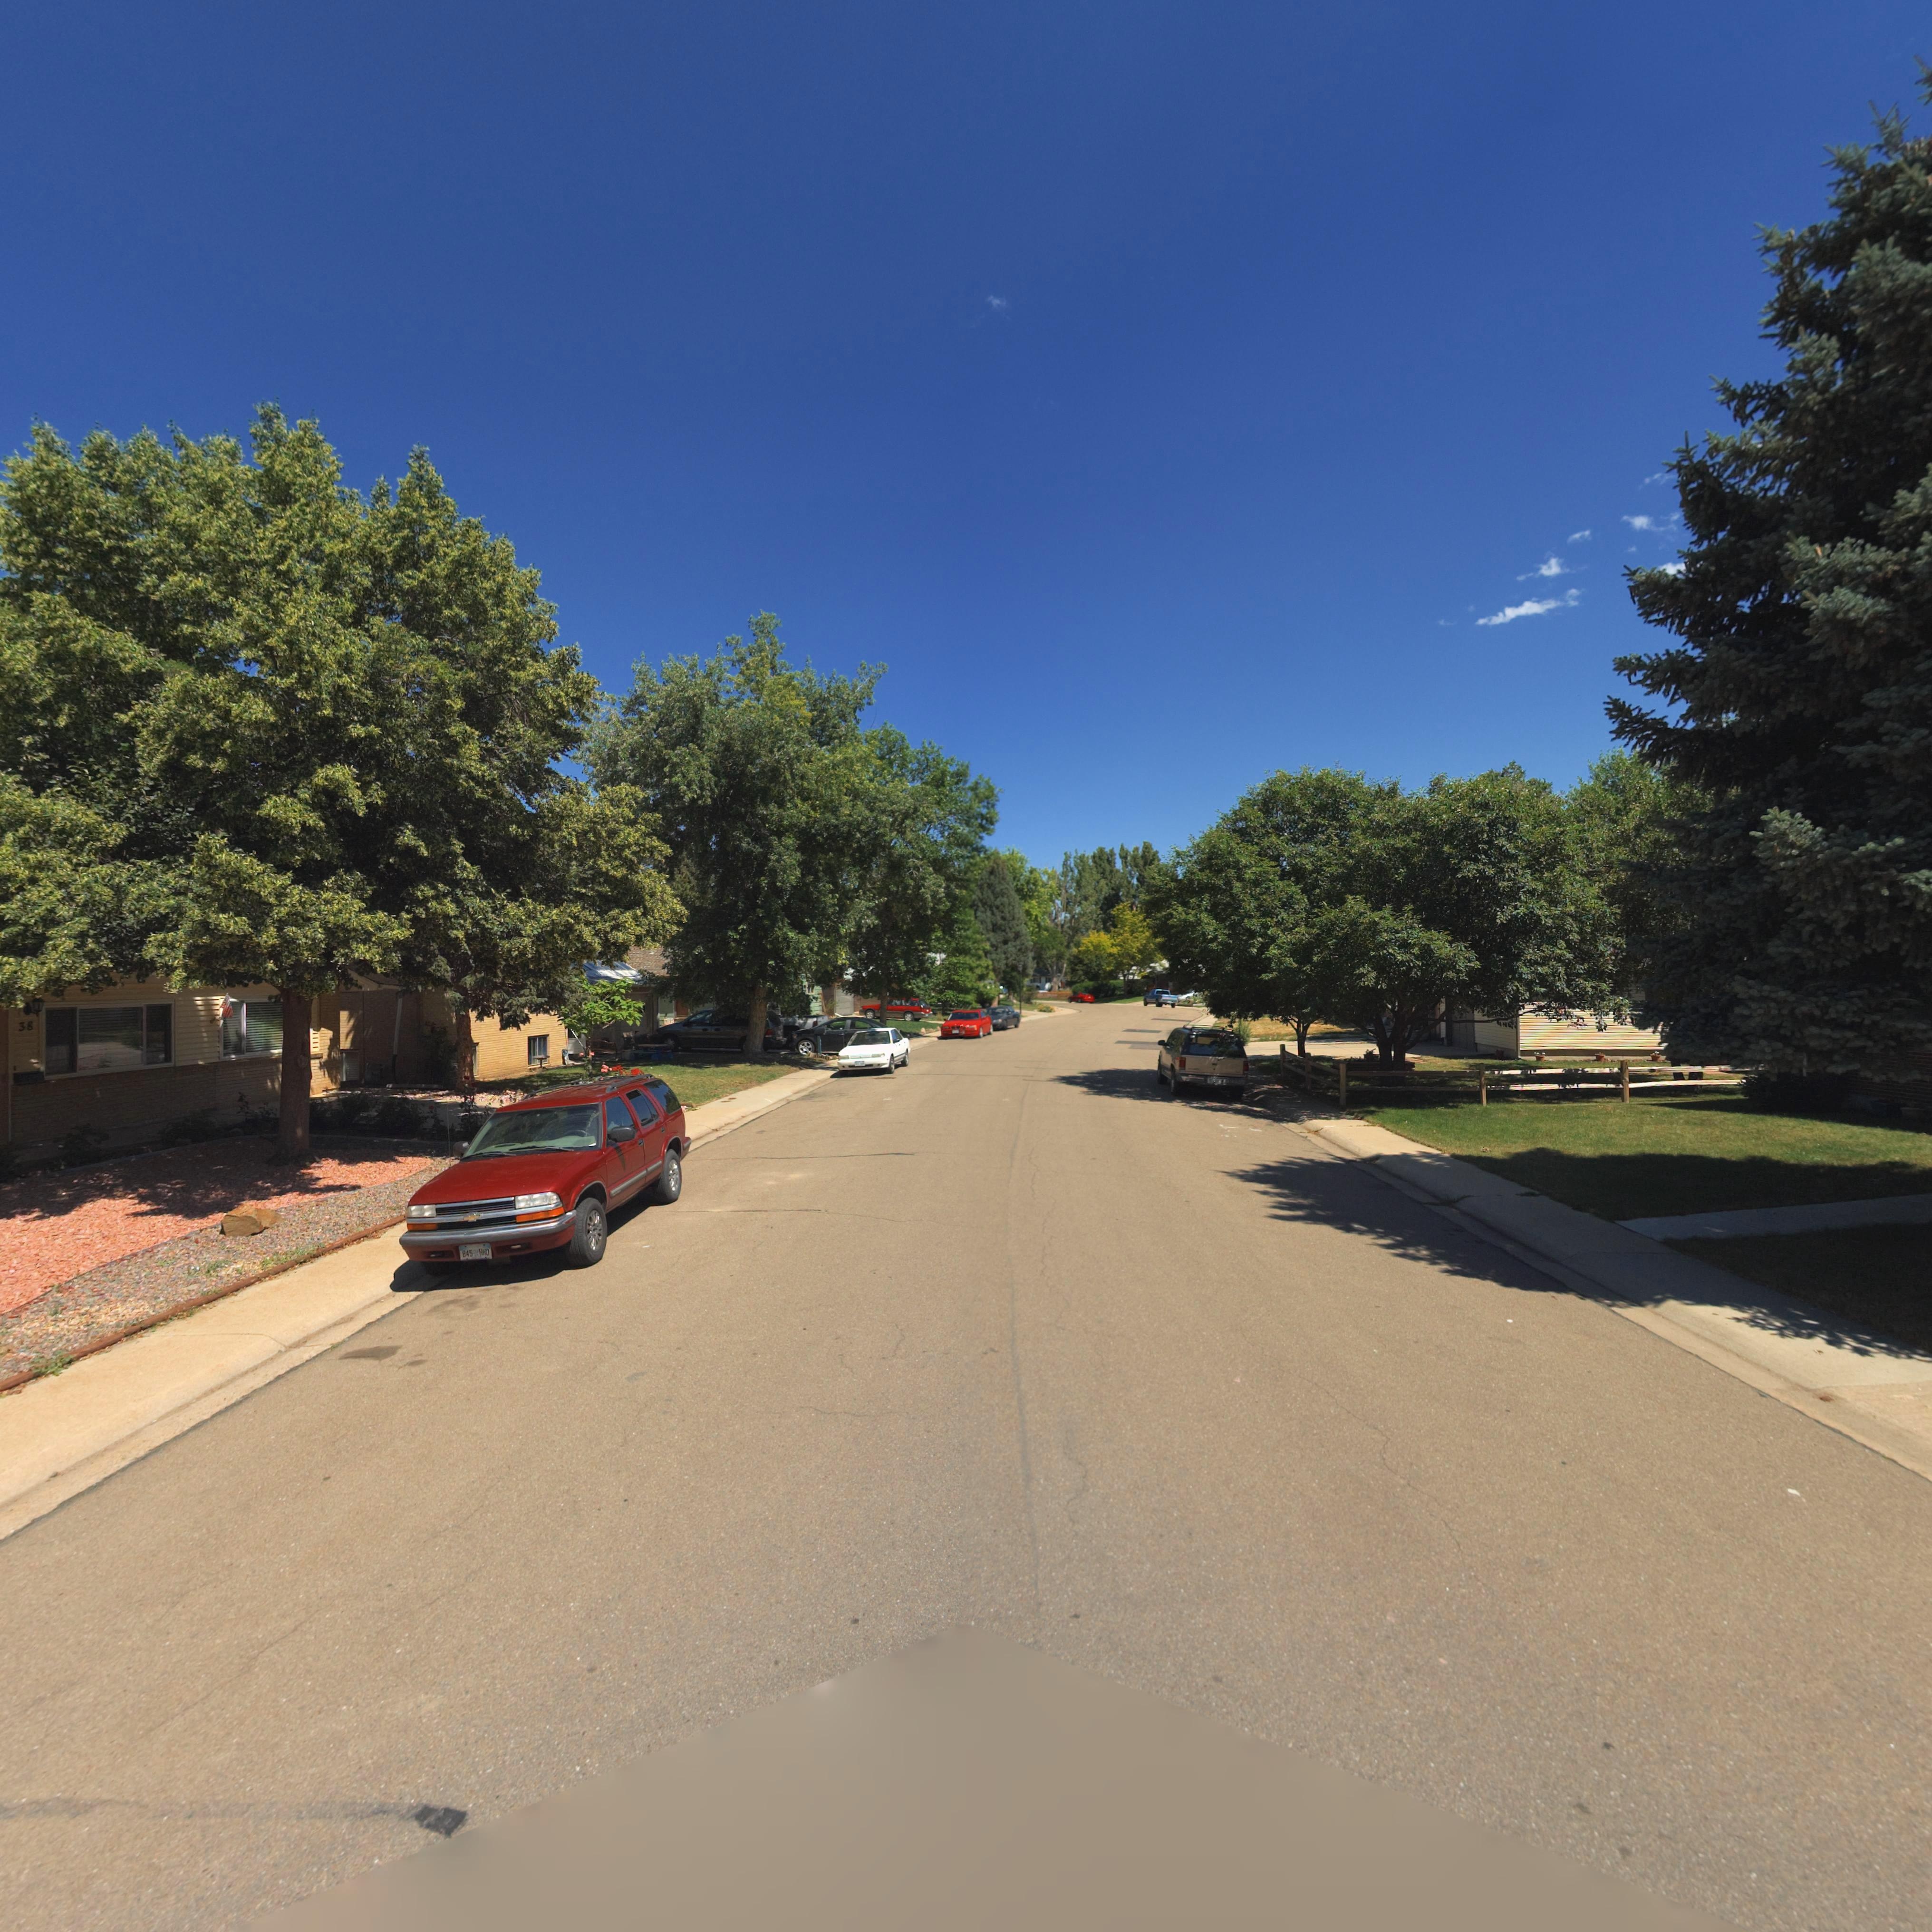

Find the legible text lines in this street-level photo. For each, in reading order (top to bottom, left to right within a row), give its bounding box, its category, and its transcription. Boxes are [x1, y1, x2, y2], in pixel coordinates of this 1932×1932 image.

[18, 1020, 33, 1032] StreetNumber: 38